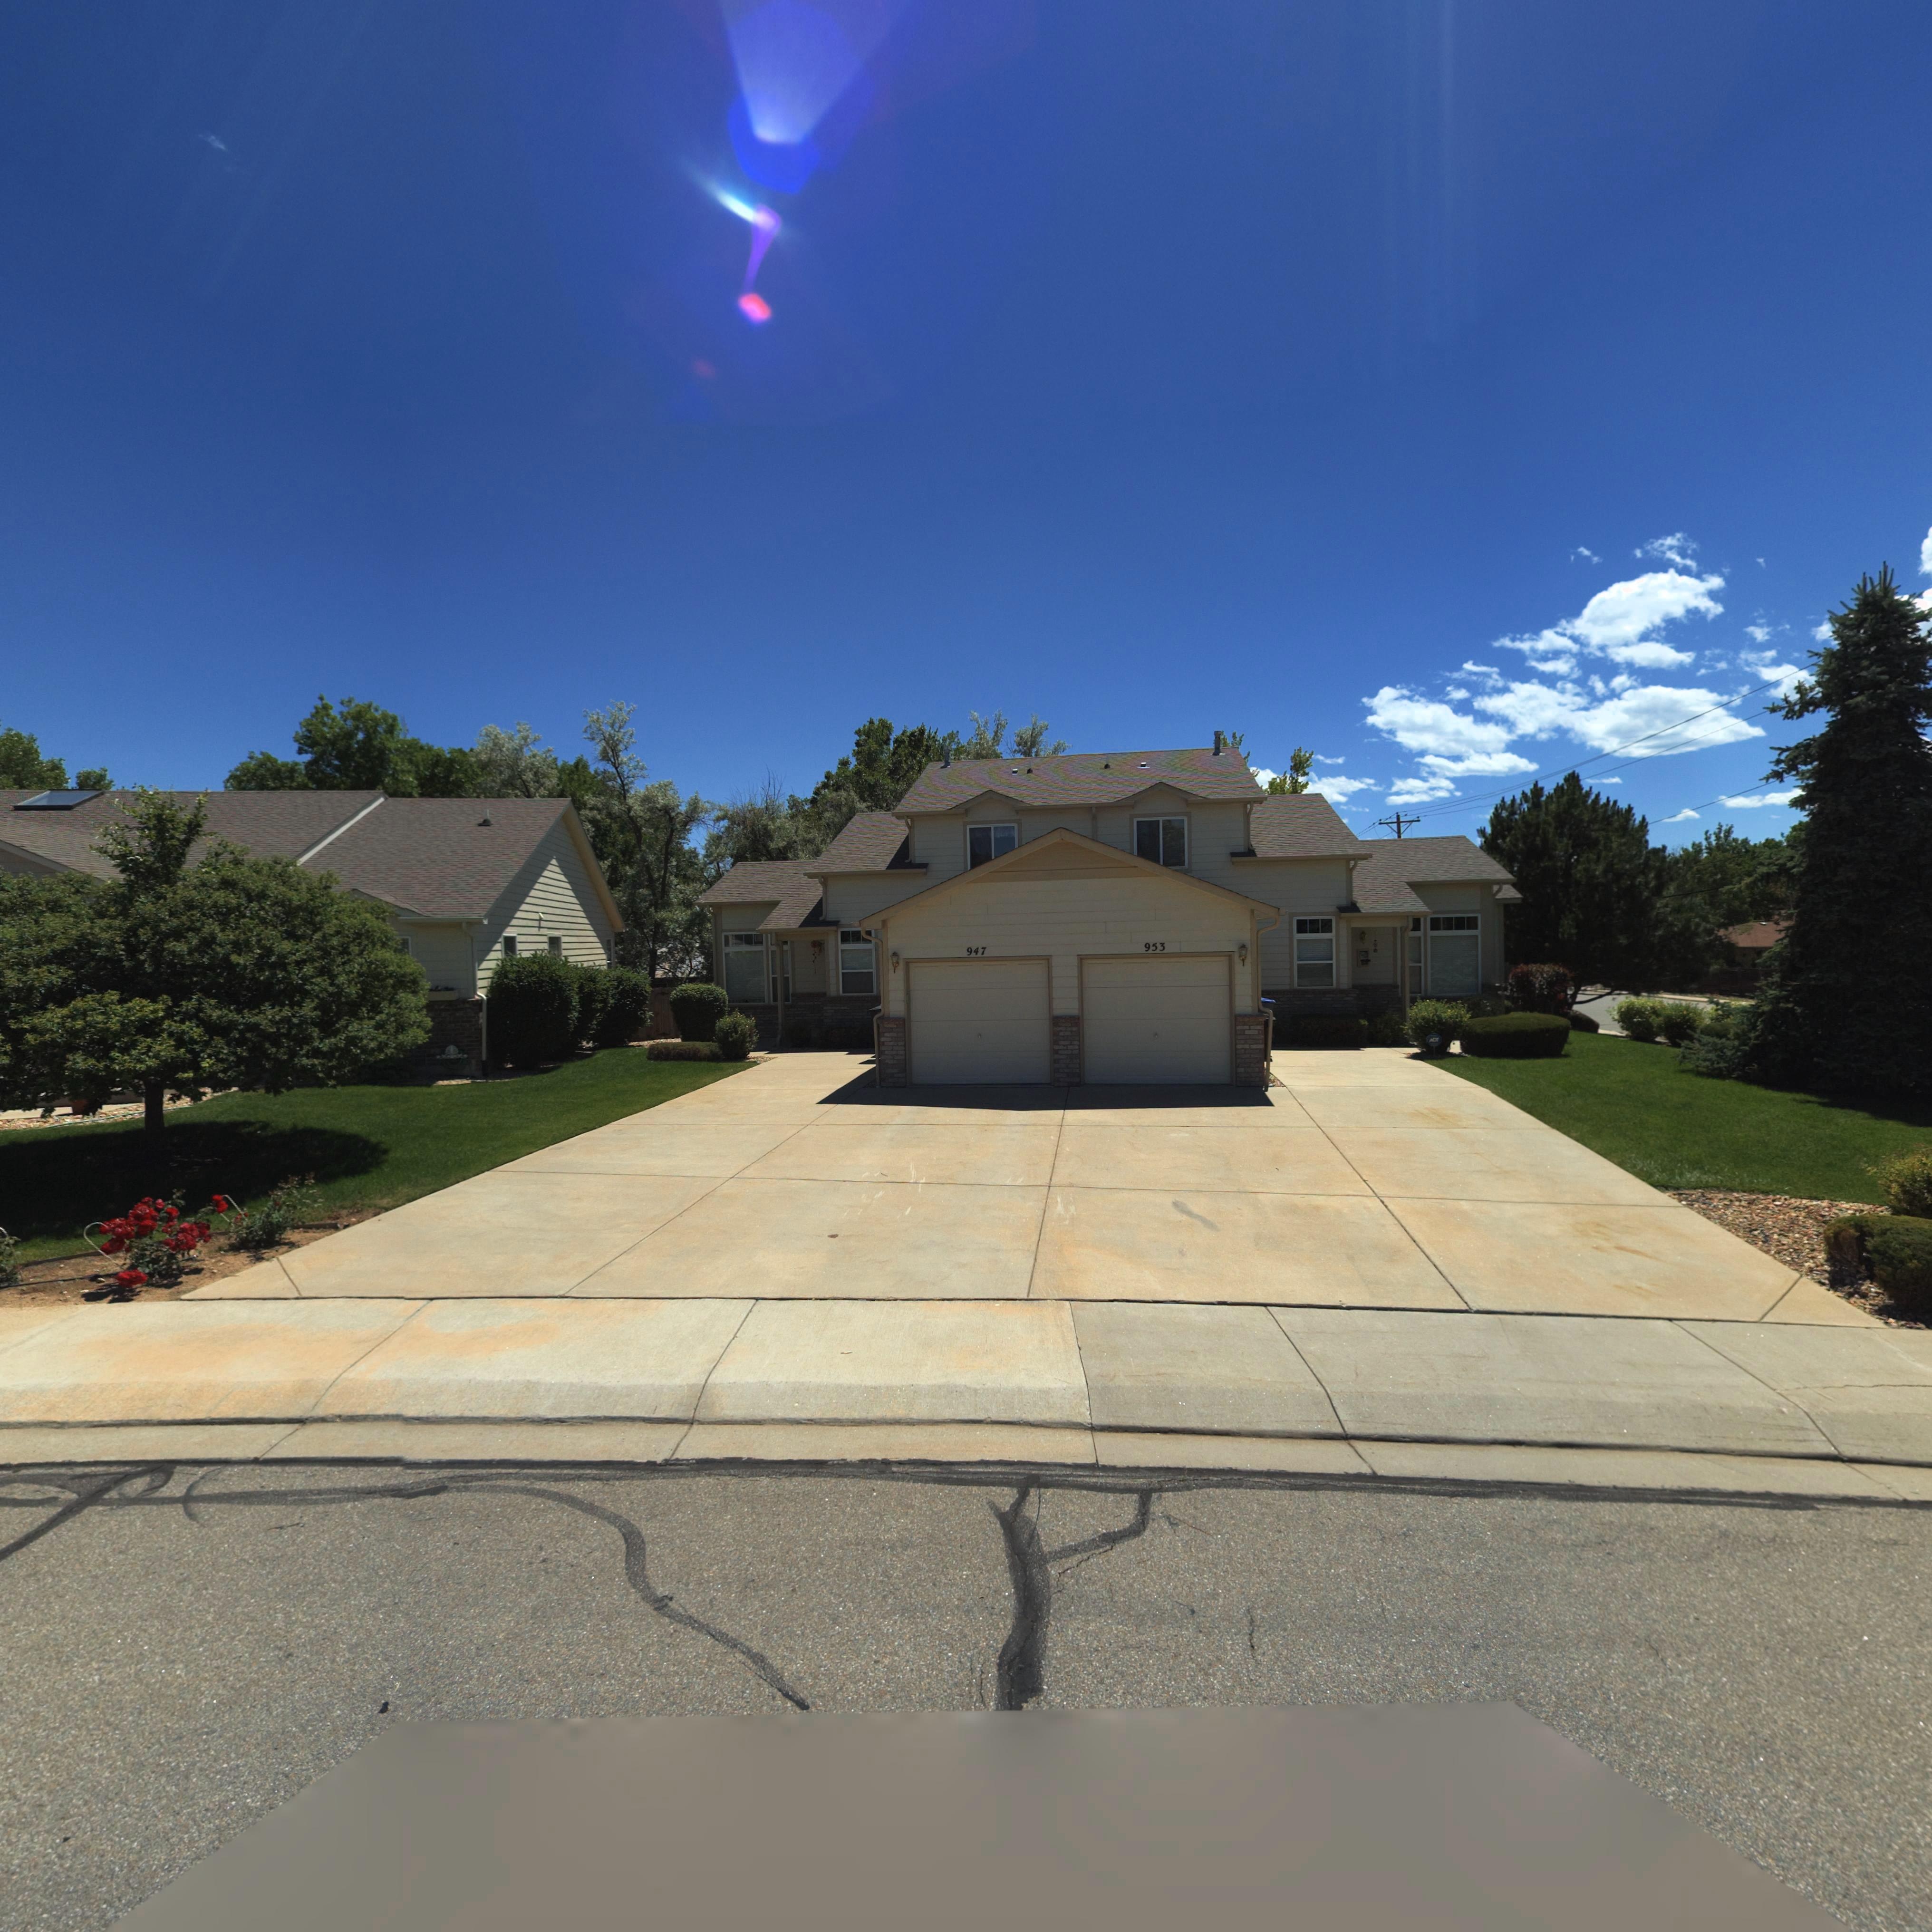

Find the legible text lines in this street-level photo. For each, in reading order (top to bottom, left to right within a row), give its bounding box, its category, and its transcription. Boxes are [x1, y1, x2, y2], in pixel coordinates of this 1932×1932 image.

[966, 946, 987, 956] StreetNumber: 947
[1143, 942, 1165, 952] StreetNumber: 953